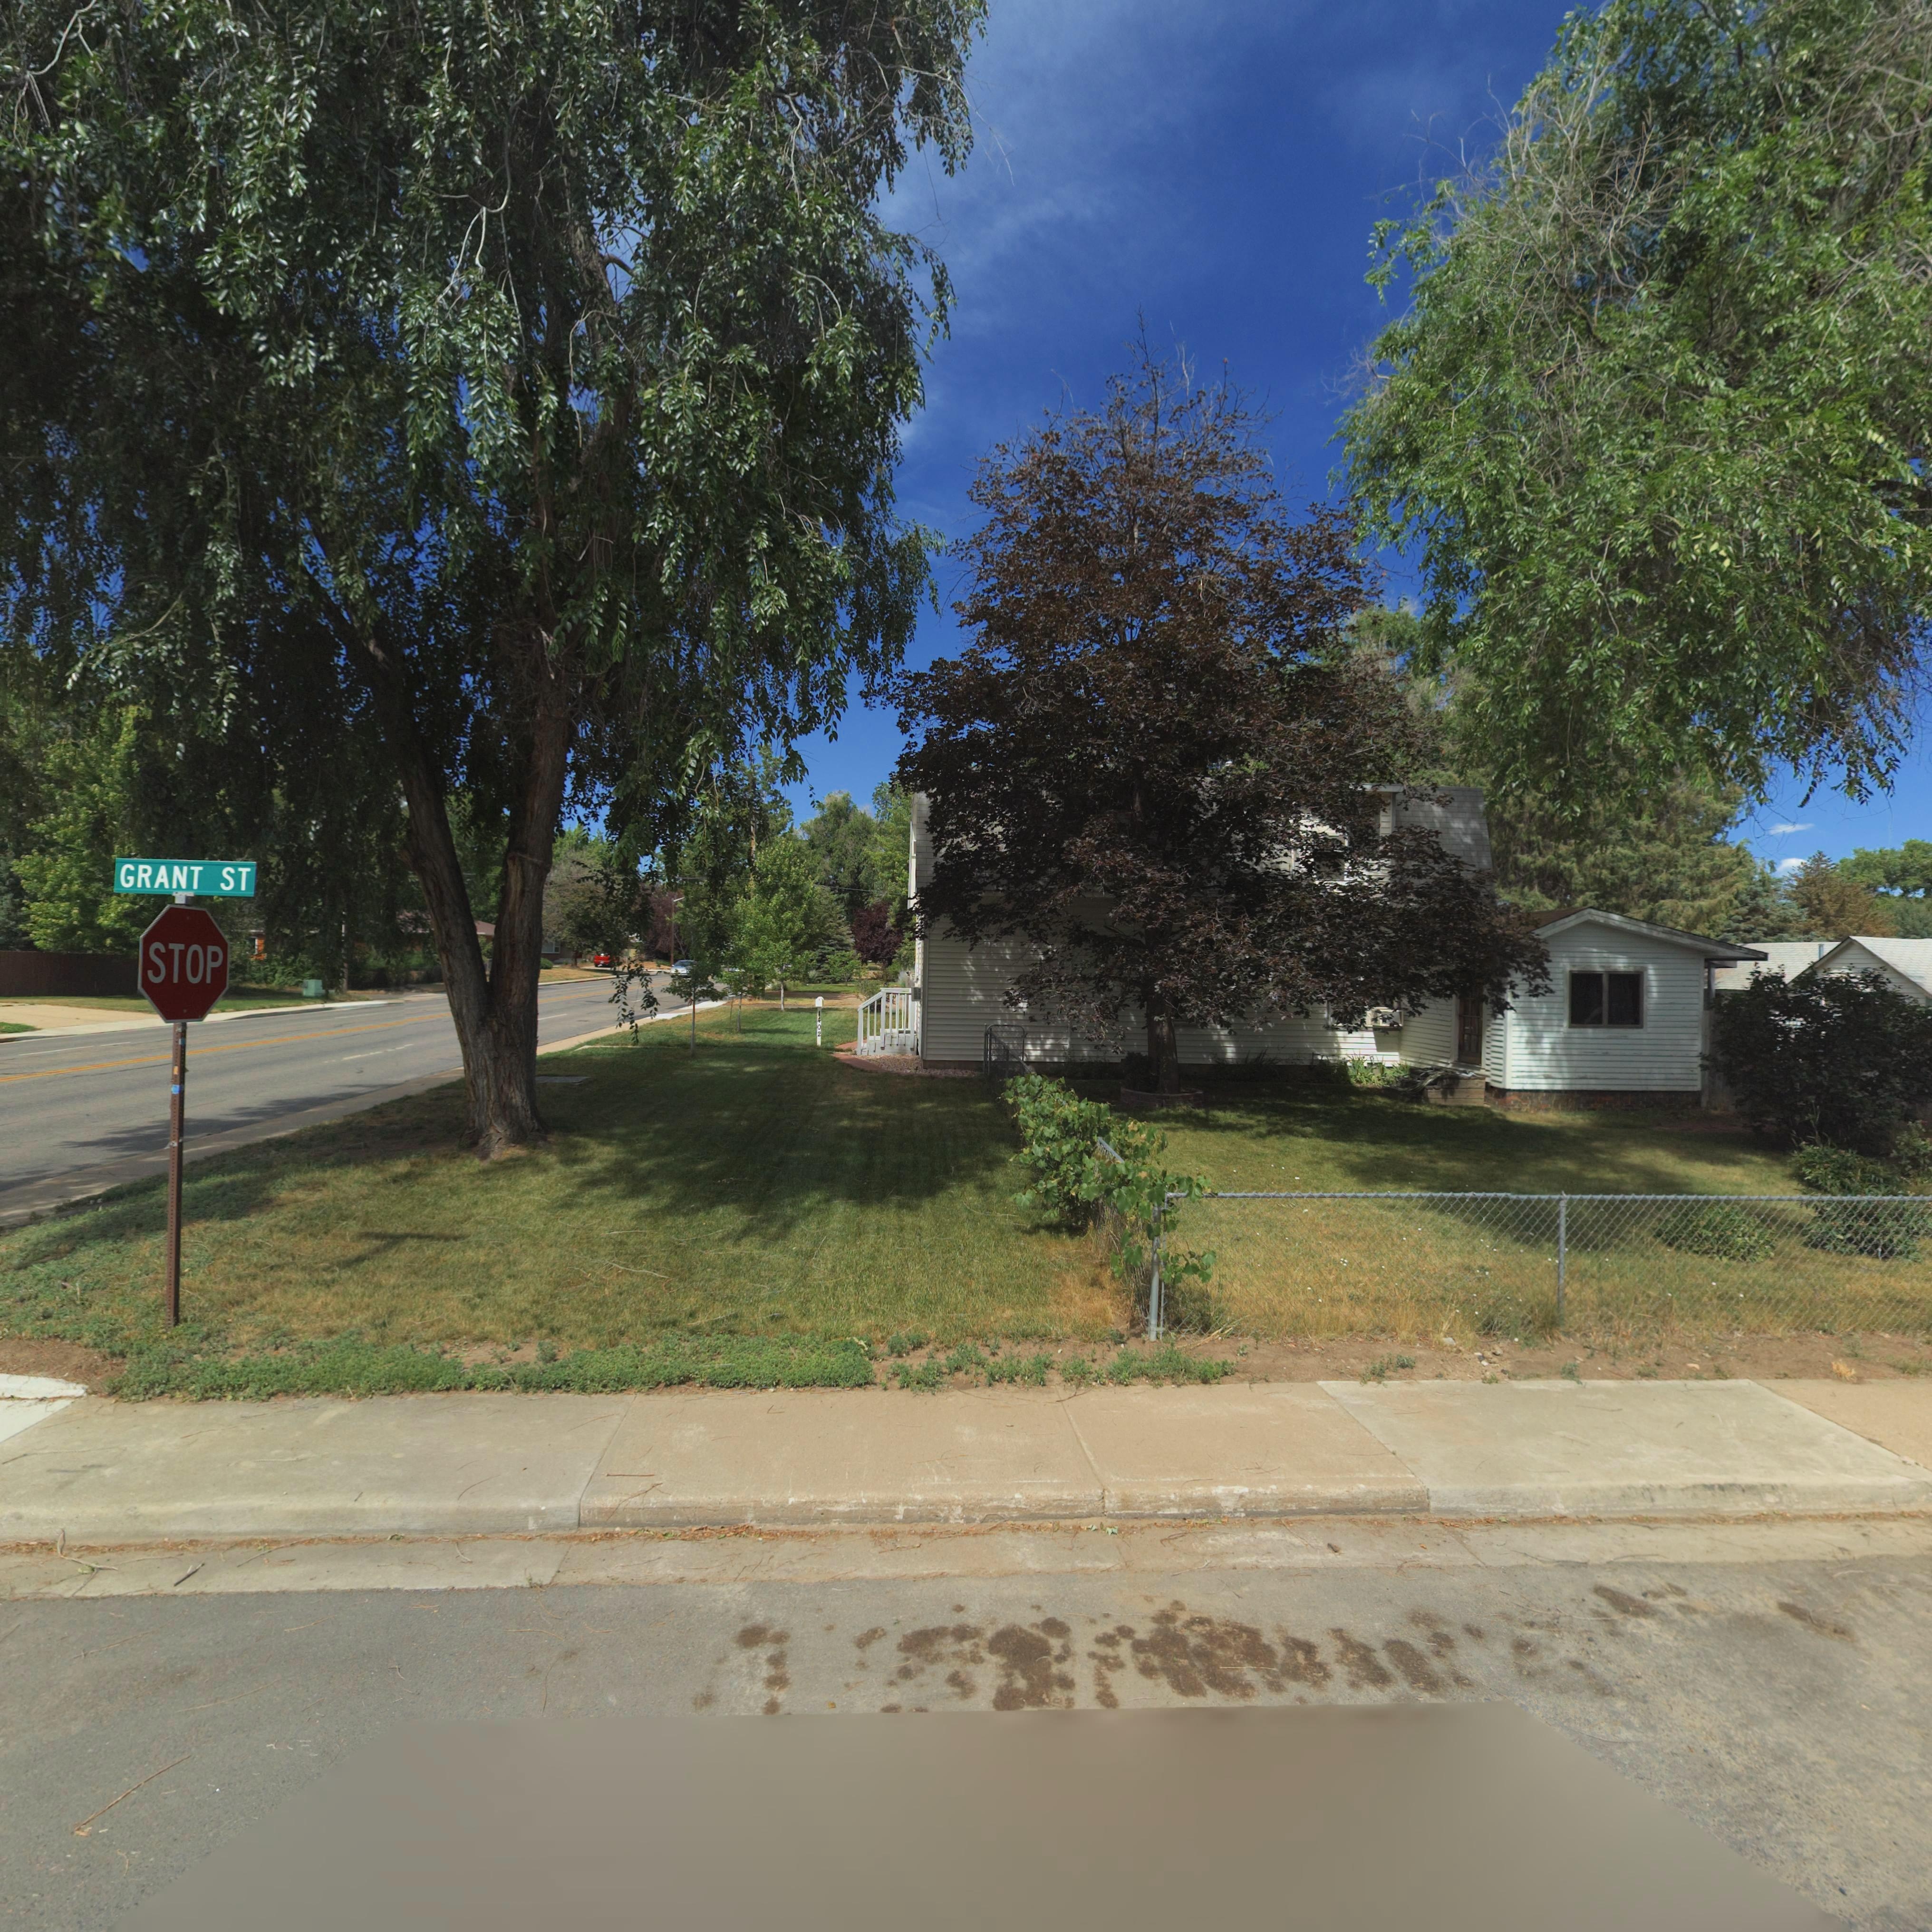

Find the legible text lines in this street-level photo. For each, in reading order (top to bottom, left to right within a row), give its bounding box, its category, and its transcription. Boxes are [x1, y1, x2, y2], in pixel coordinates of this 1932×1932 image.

[119, 863, 251, 892] StreetName: GRANT ST
[817, 1010, 821, 1037] StreetNumber: 1402